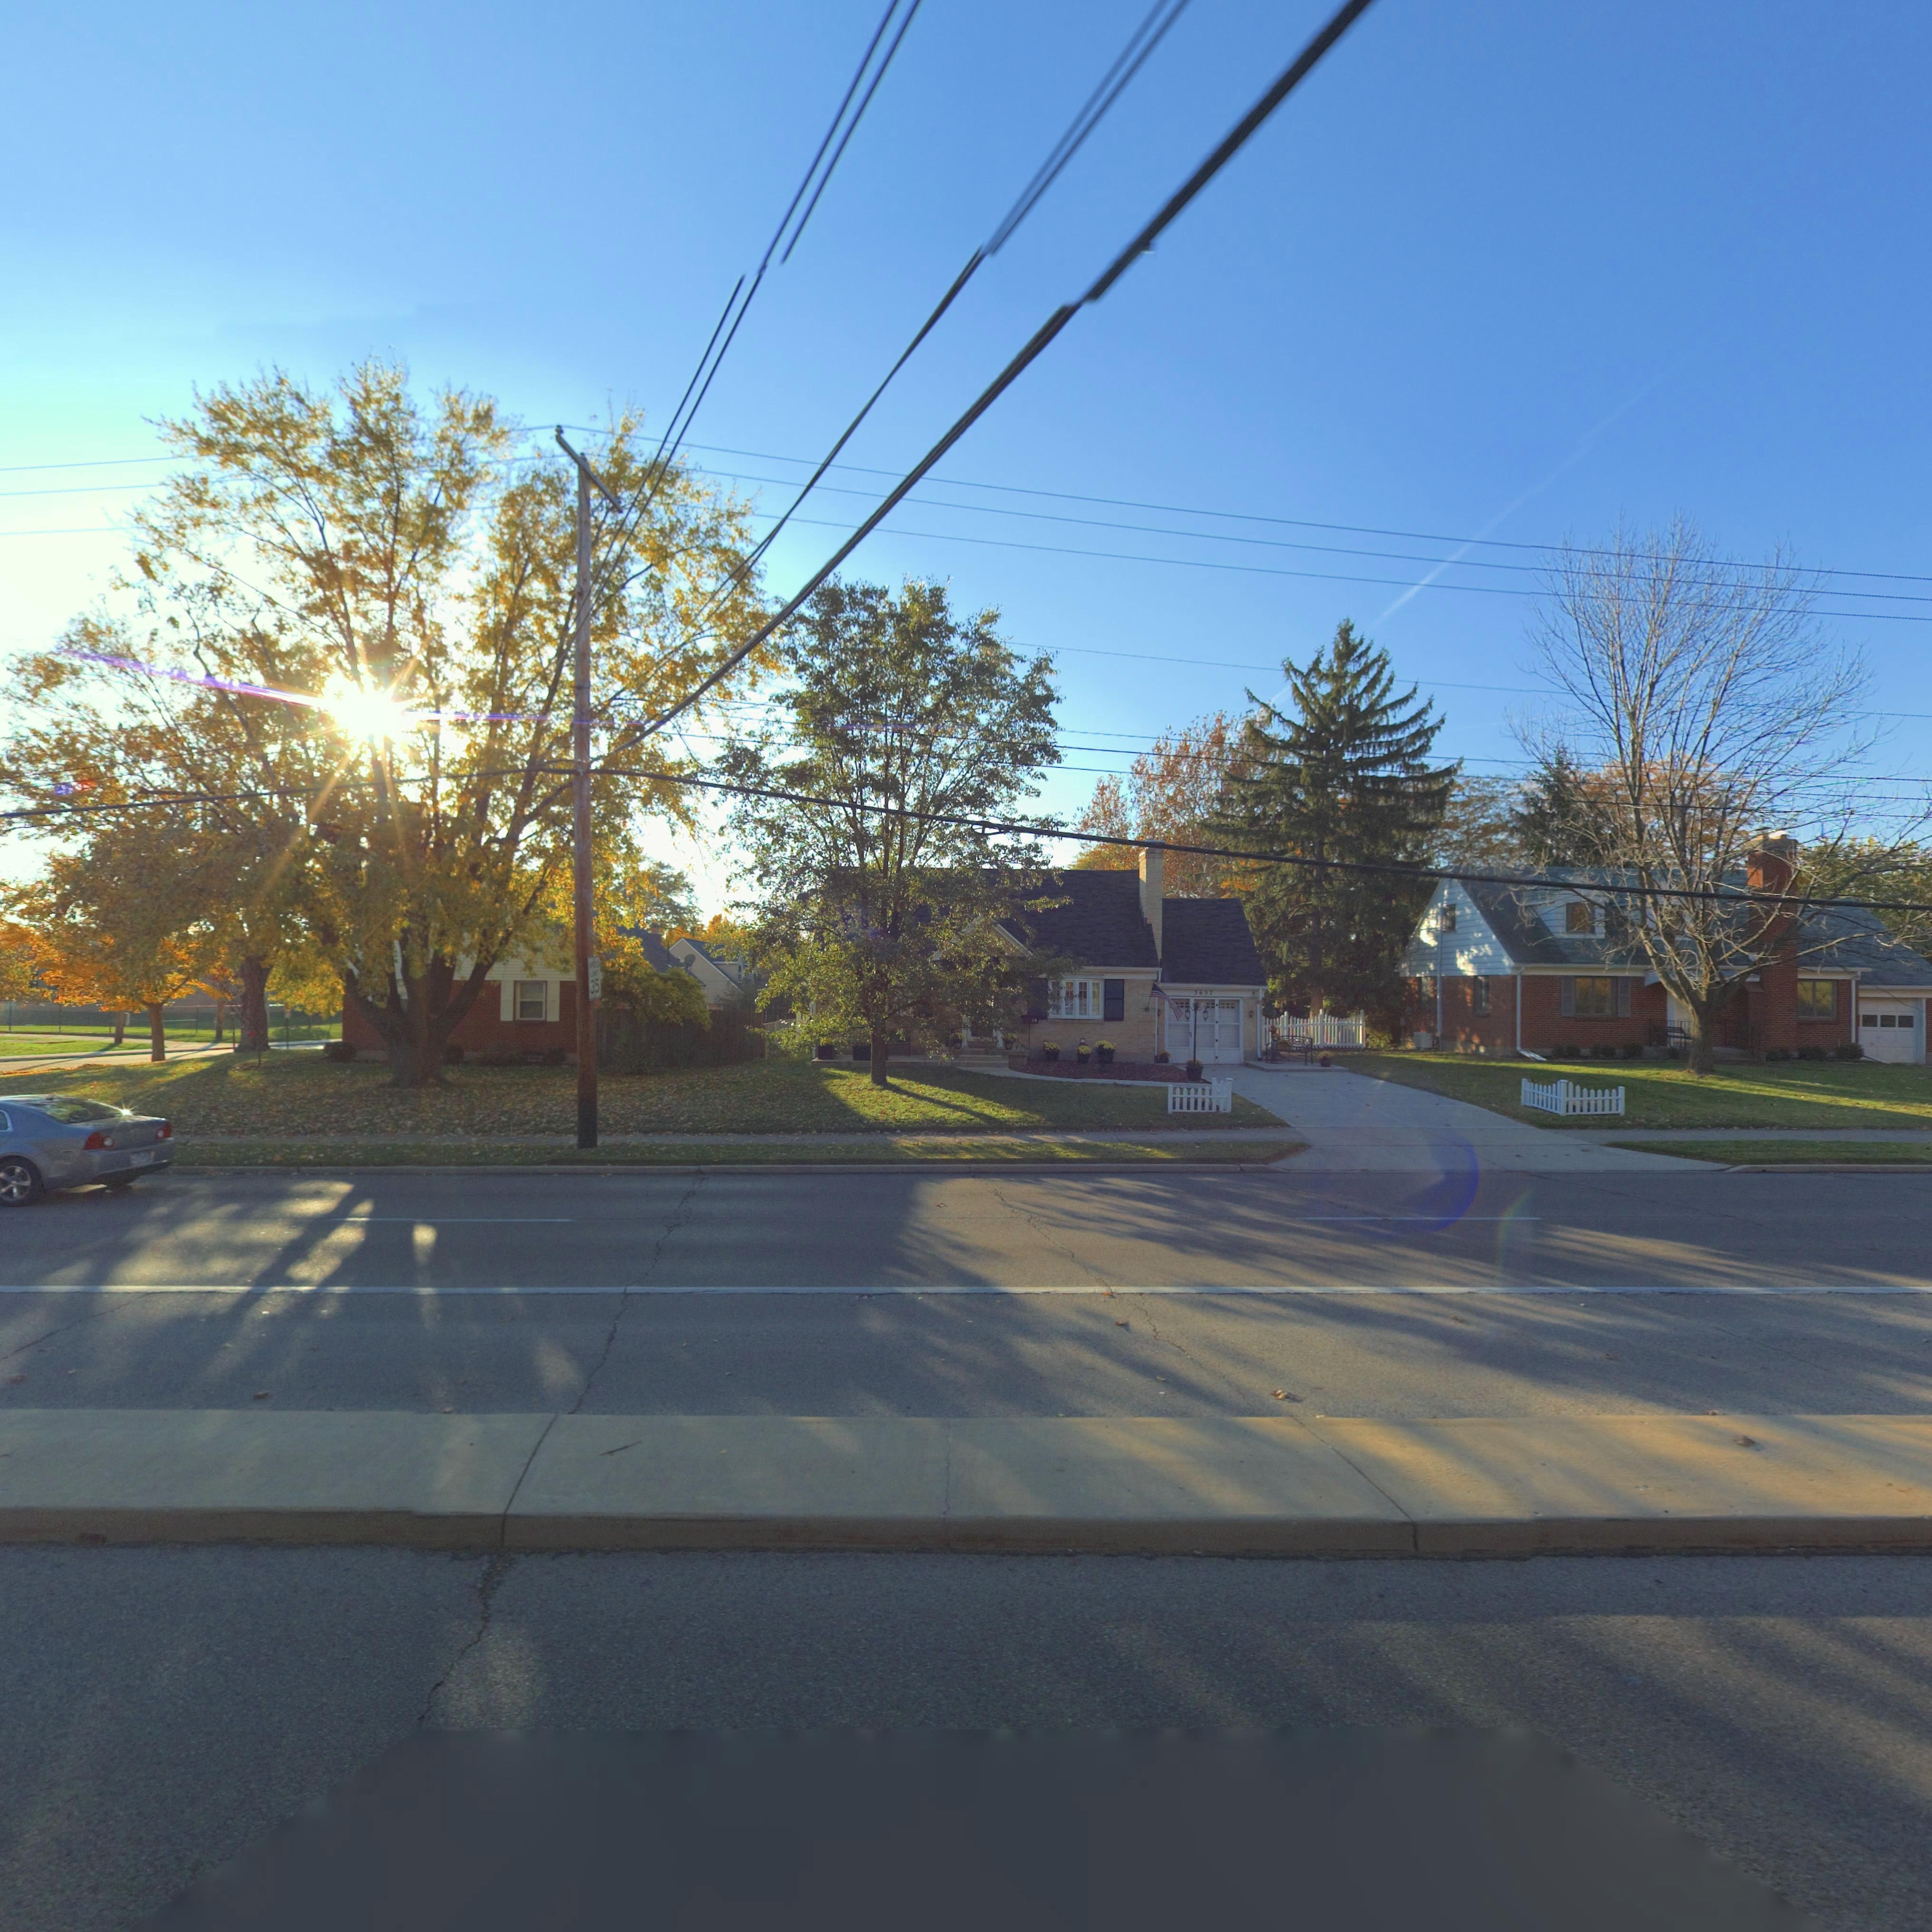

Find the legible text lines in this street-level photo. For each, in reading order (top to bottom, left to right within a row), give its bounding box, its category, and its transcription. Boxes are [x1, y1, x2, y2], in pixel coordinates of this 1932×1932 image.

[1194, 990, 1213, 995] StreetNumber: 3657